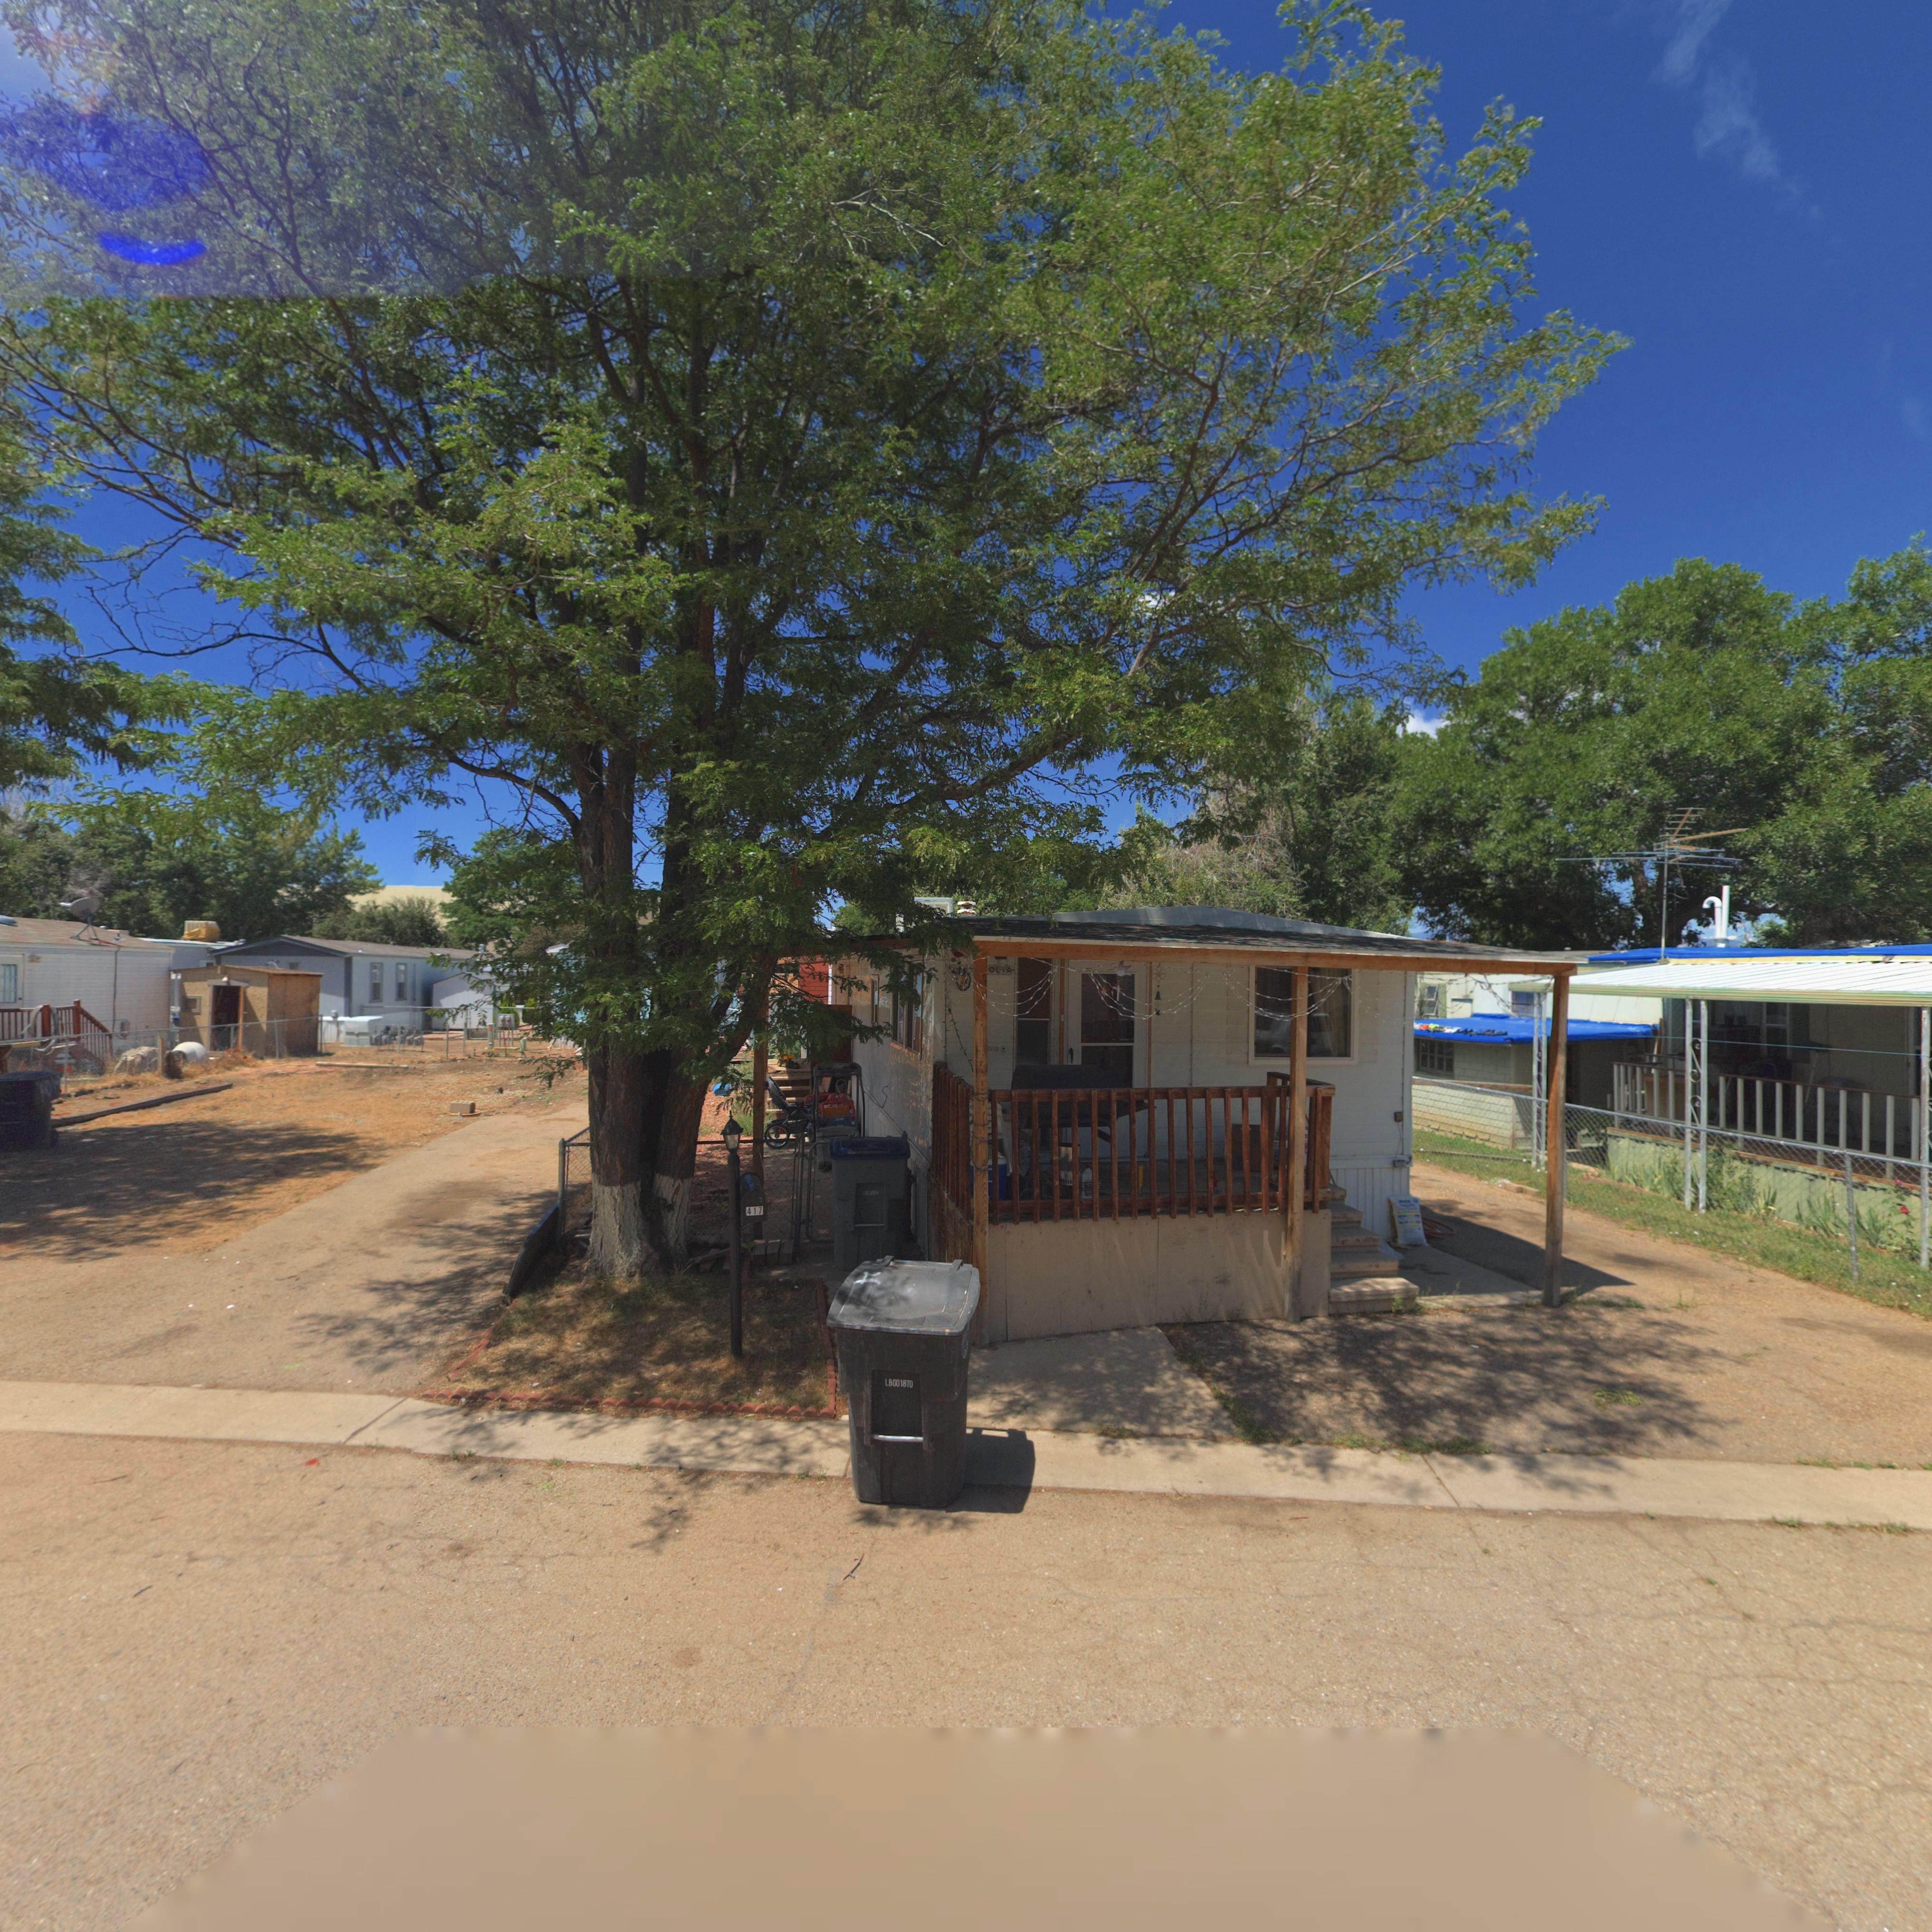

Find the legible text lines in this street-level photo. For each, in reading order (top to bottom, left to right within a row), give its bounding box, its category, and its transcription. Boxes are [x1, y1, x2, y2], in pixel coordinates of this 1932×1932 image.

[746, 1206, 762, 1215] StreetNumber: 417